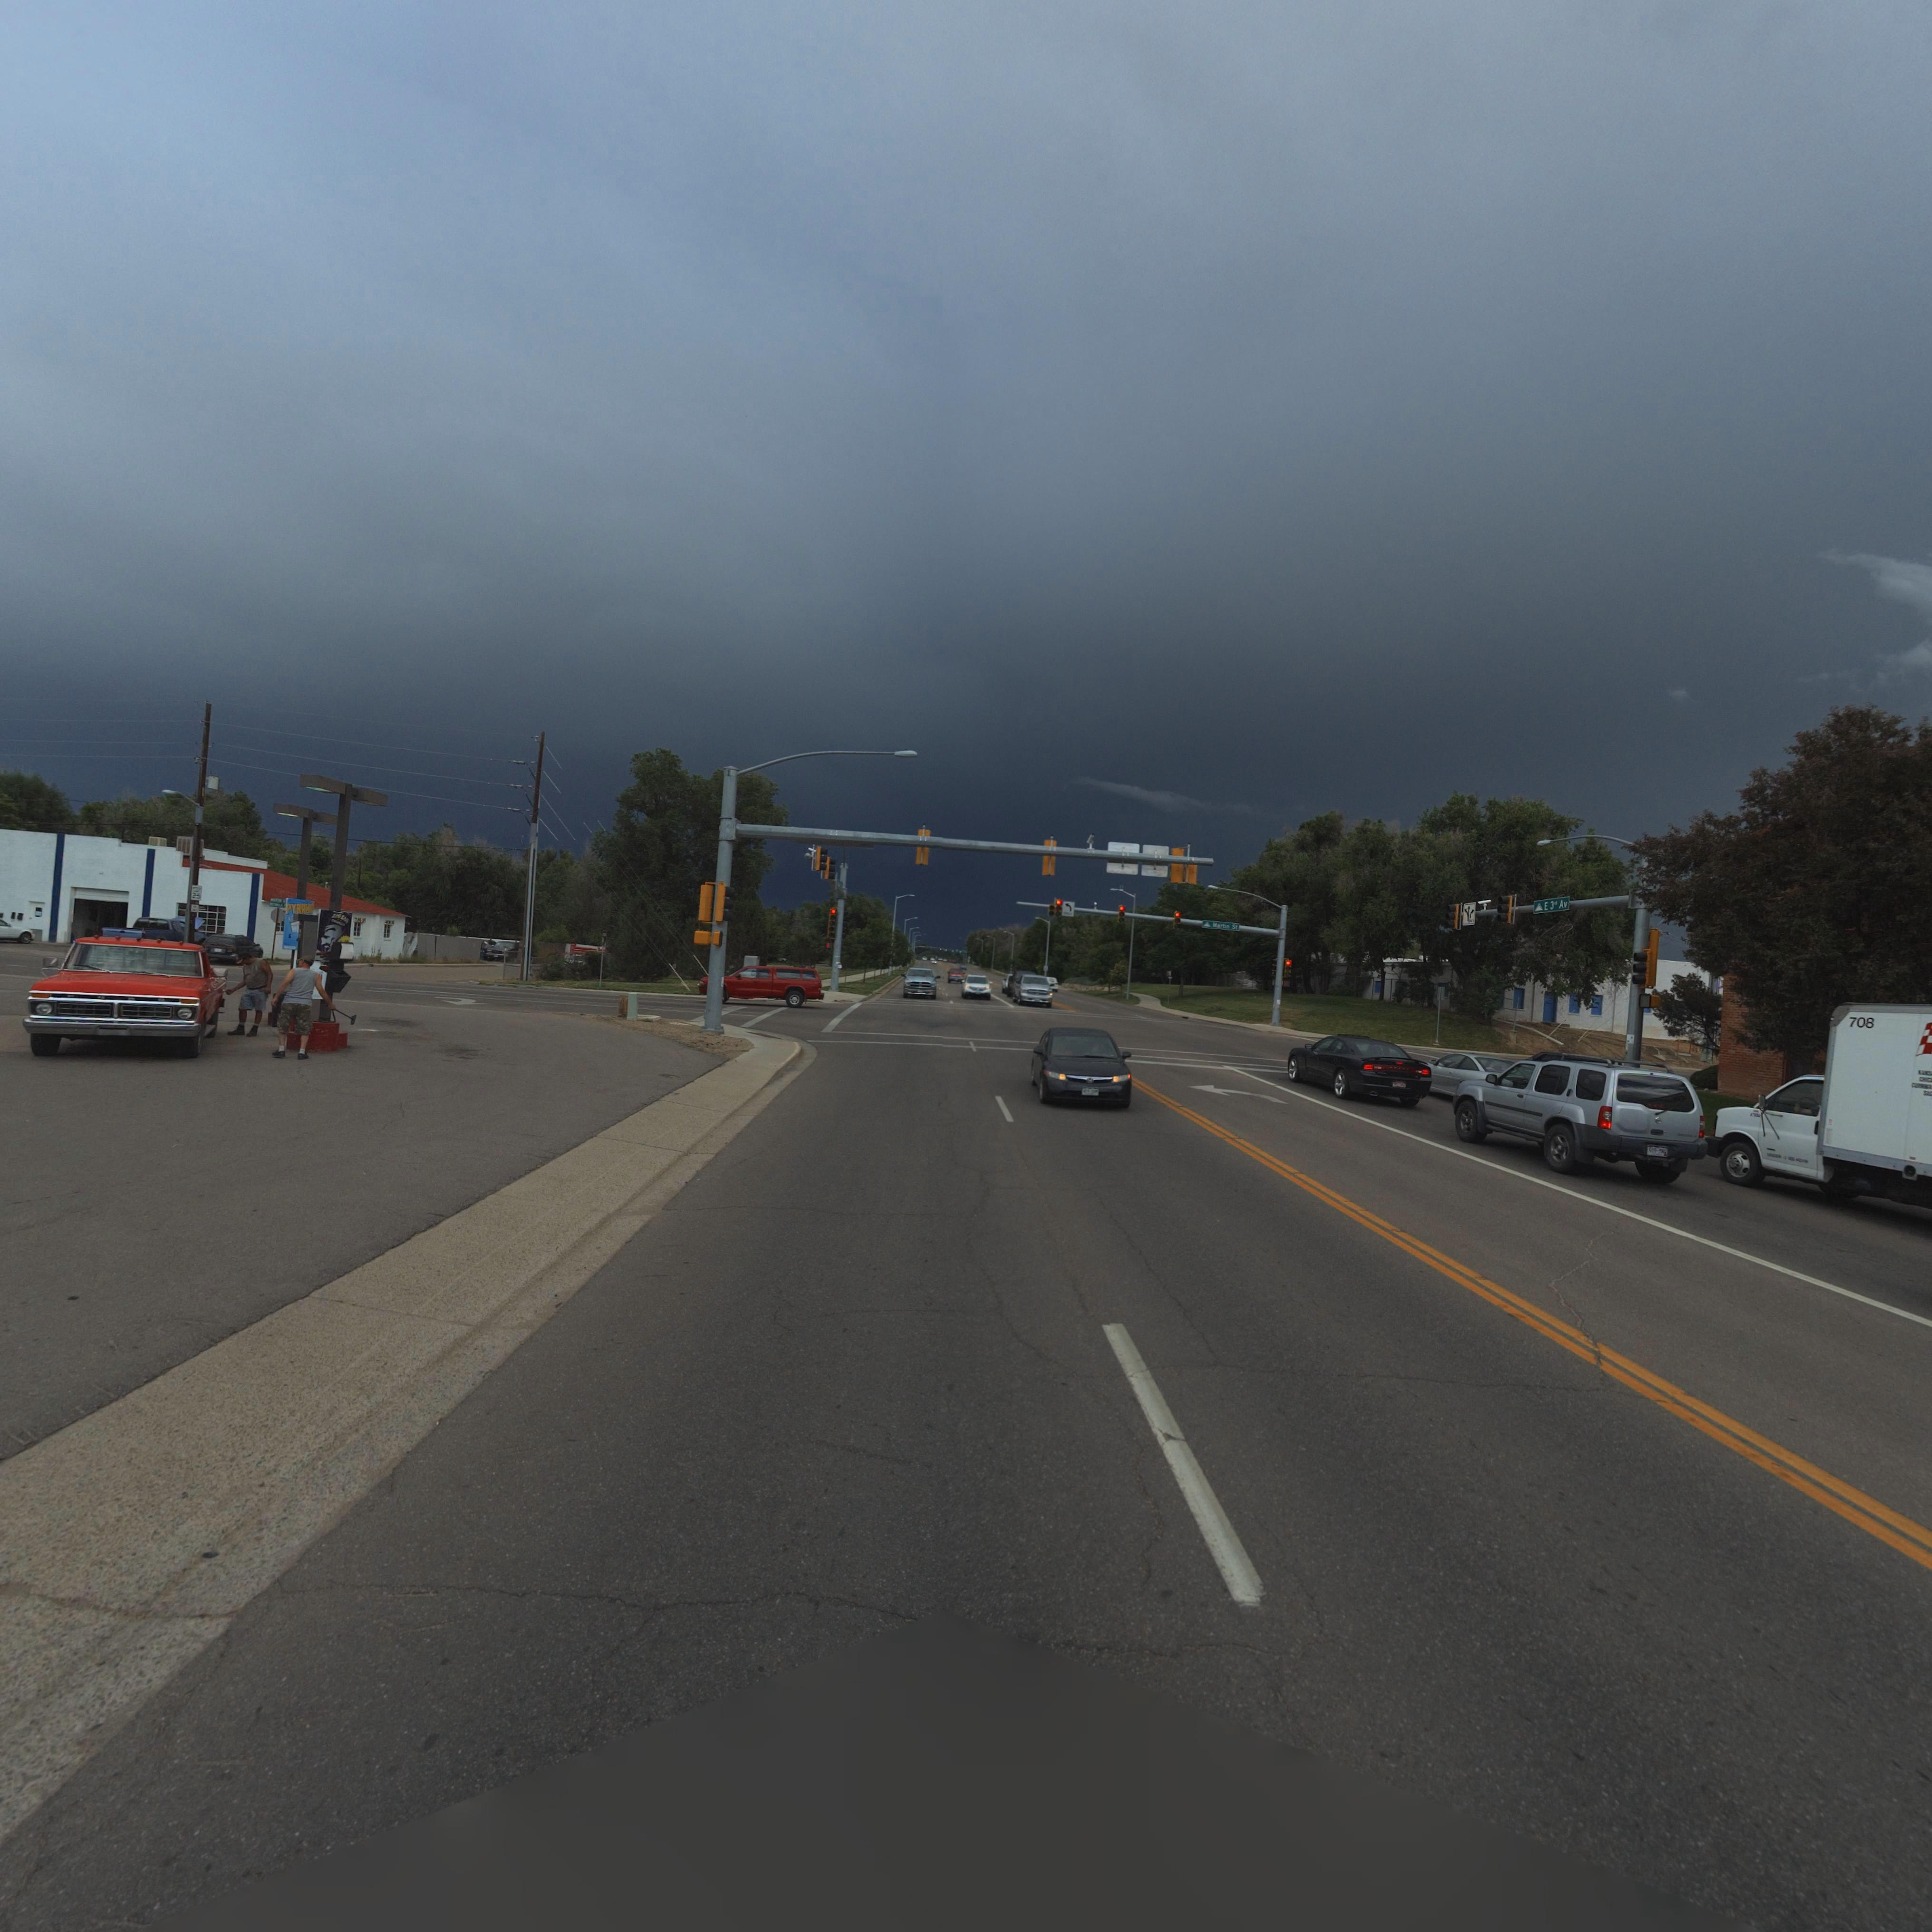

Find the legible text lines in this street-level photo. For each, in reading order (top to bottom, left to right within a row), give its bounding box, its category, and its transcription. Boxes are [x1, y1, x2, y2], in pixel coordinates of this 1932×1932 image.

[1212, 922, 1238, 930] StreetName: Martin St